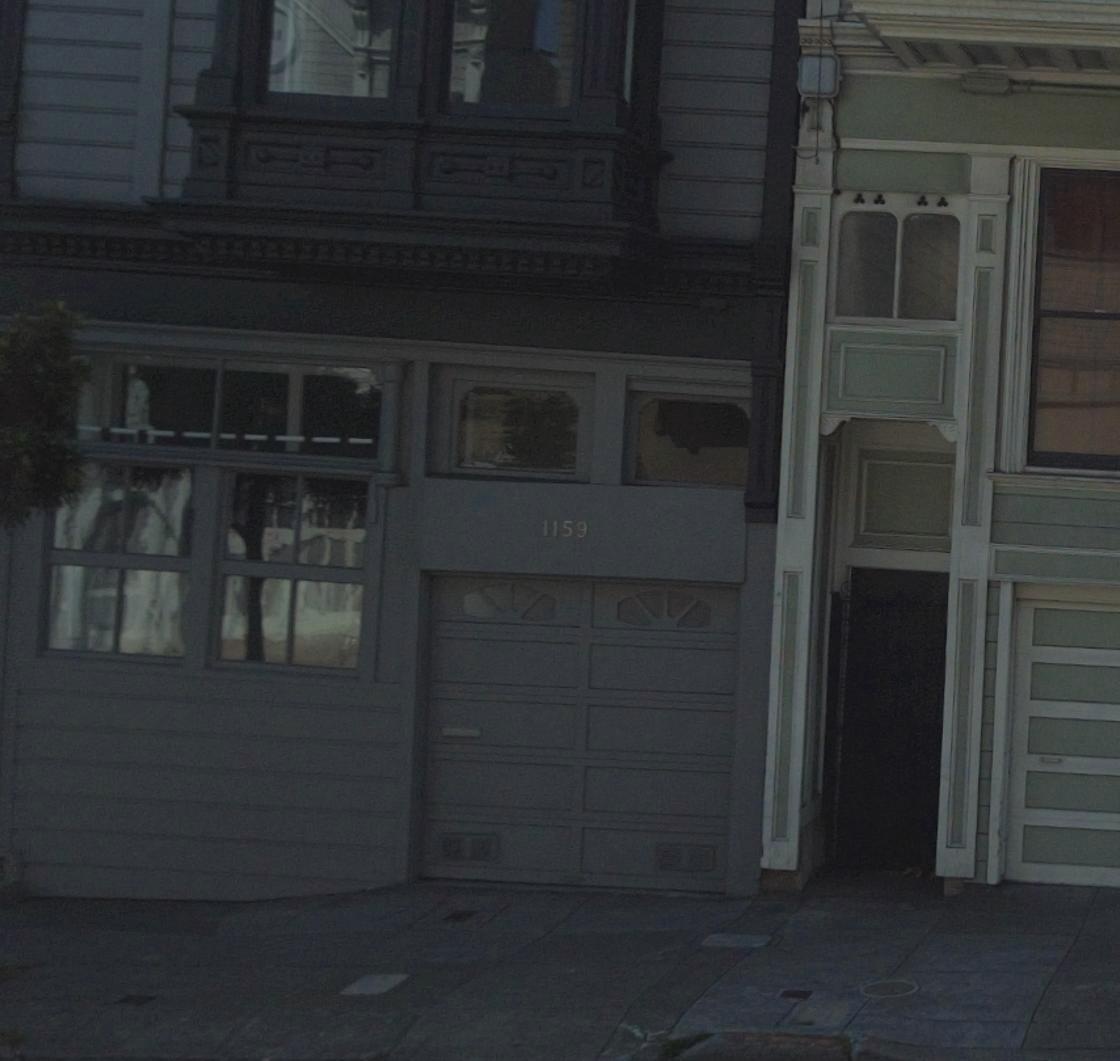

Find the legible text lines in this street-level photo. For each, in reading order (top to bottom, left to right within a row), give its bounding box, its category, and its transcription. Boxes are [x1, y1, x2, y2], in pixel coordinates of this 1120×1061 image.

[540, 519, 589, 539] StreetNumber: 1159